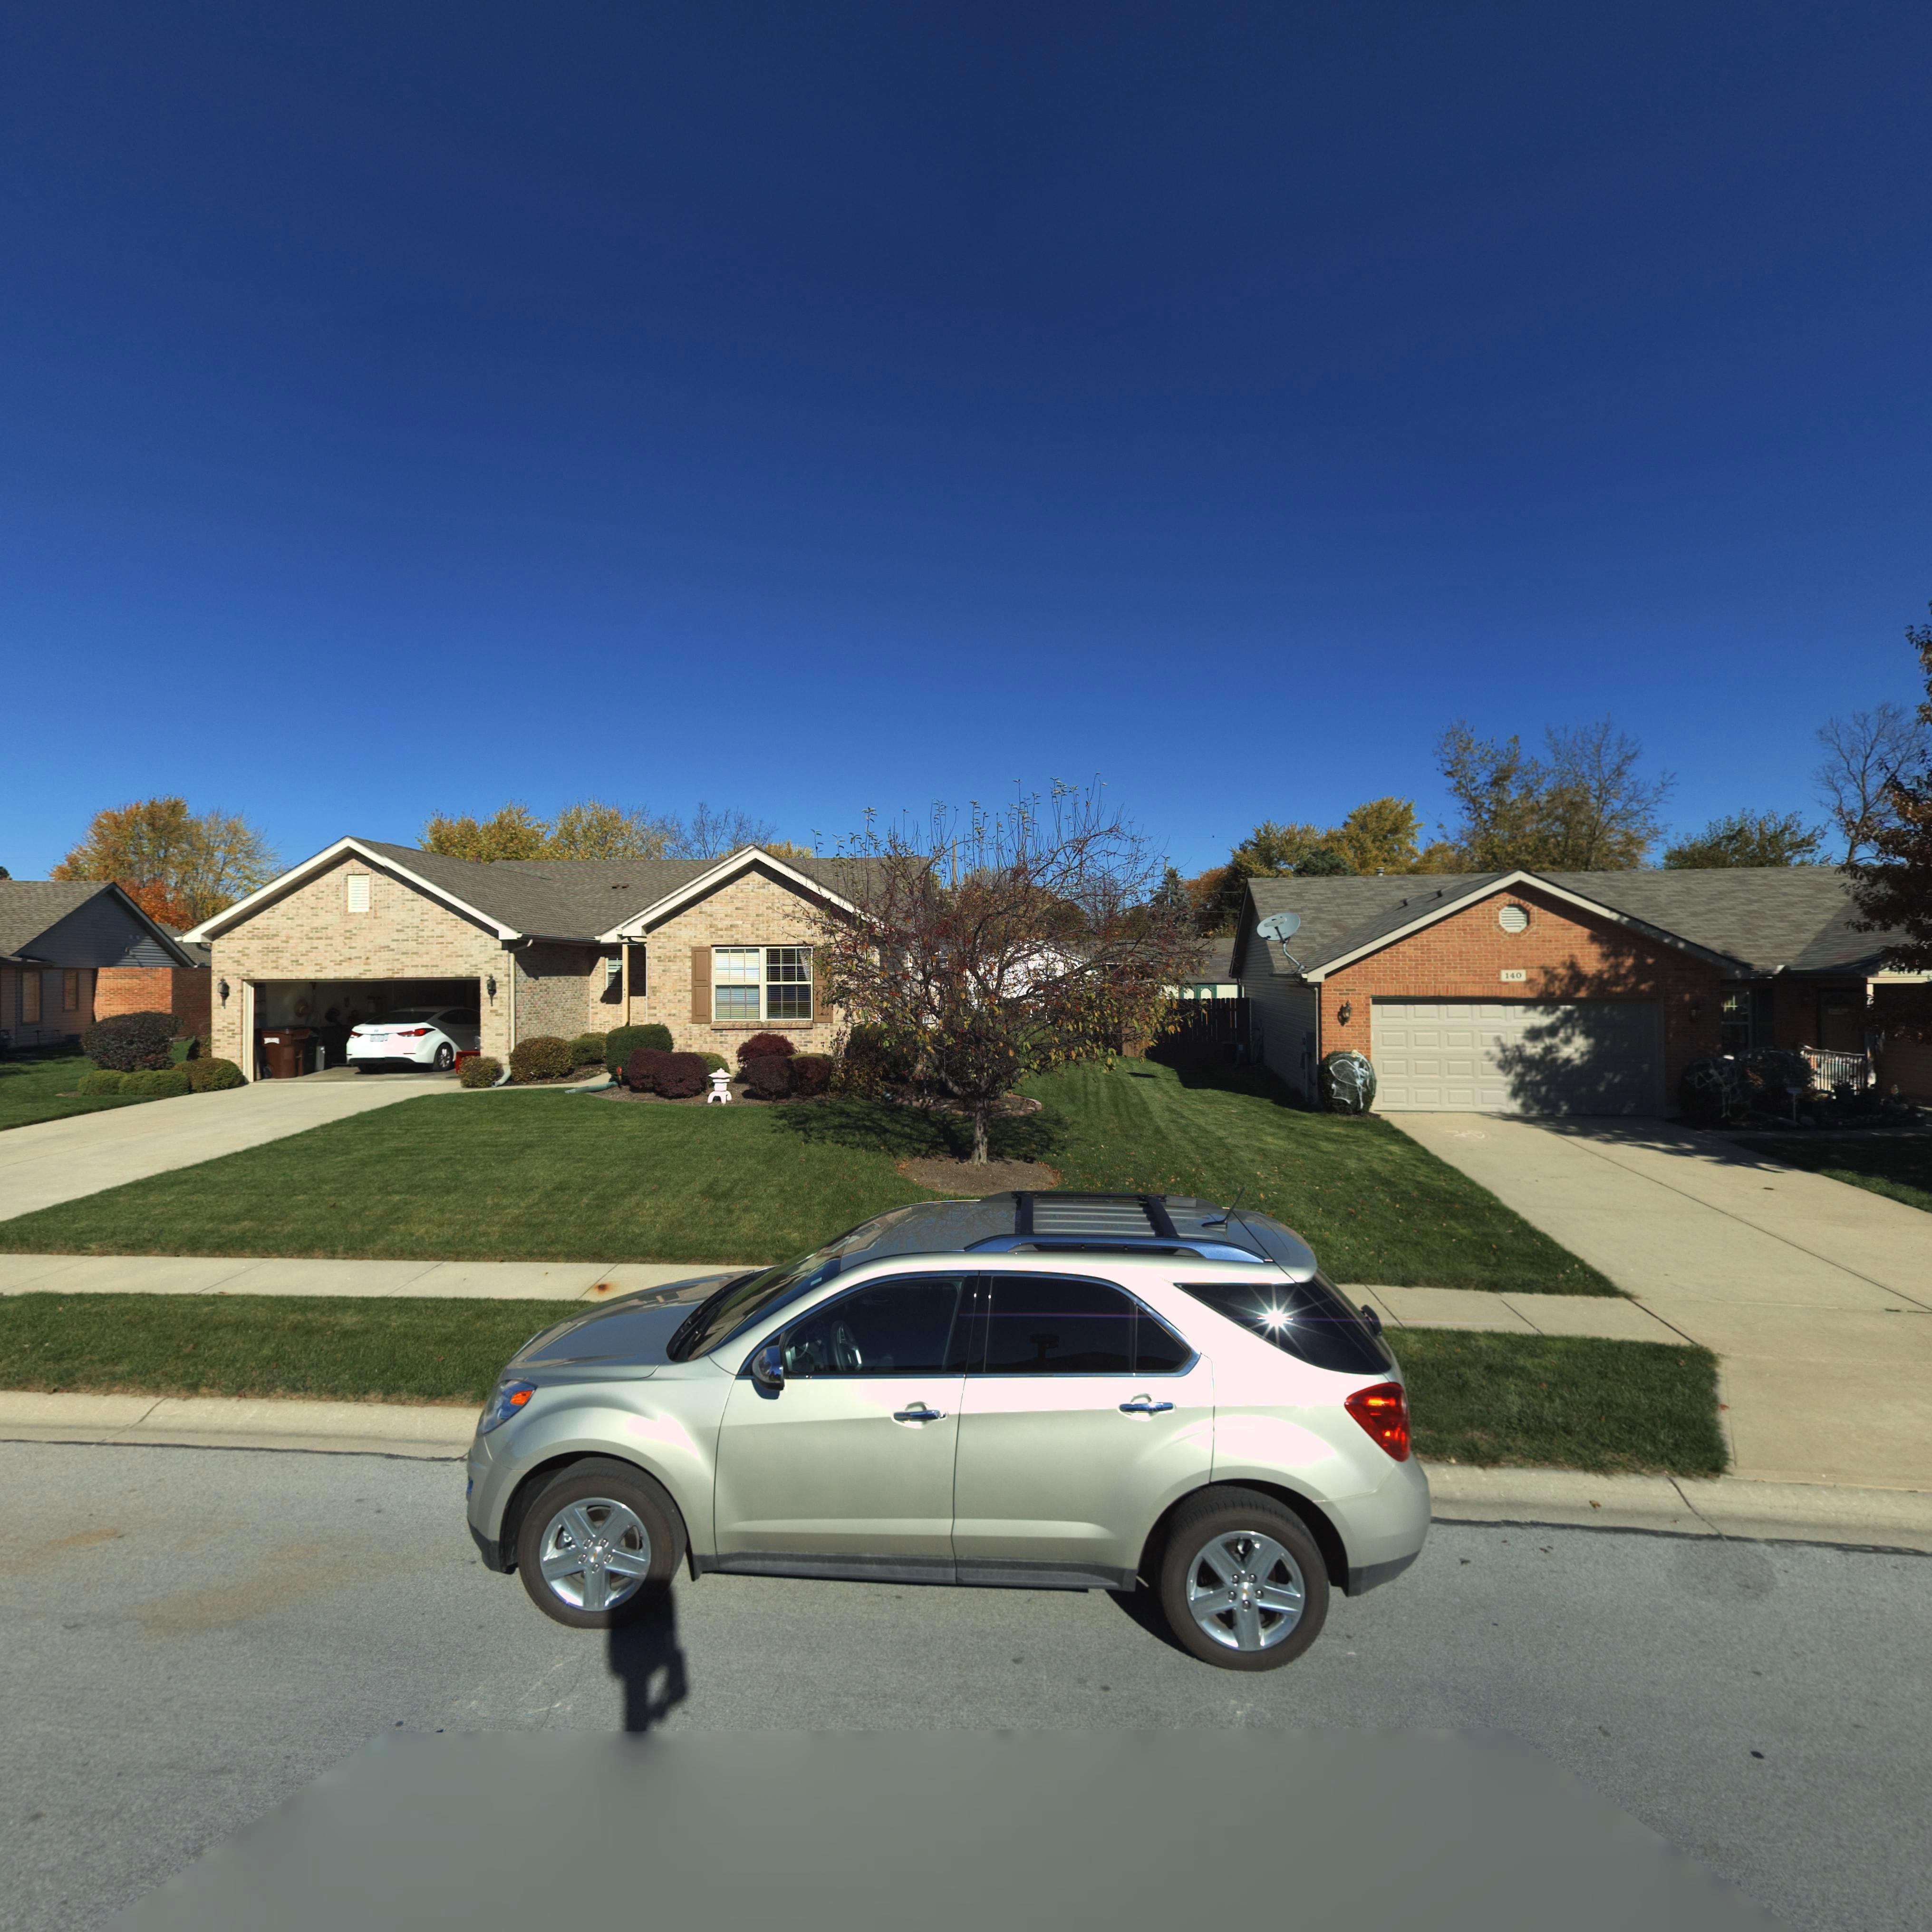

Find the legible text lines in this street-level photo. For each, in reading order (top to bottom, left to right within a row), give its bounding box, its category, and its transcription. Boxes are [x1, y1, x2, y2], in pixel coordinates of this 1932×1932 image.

[1505, 972, 1522, 979] StreetNumber: 140